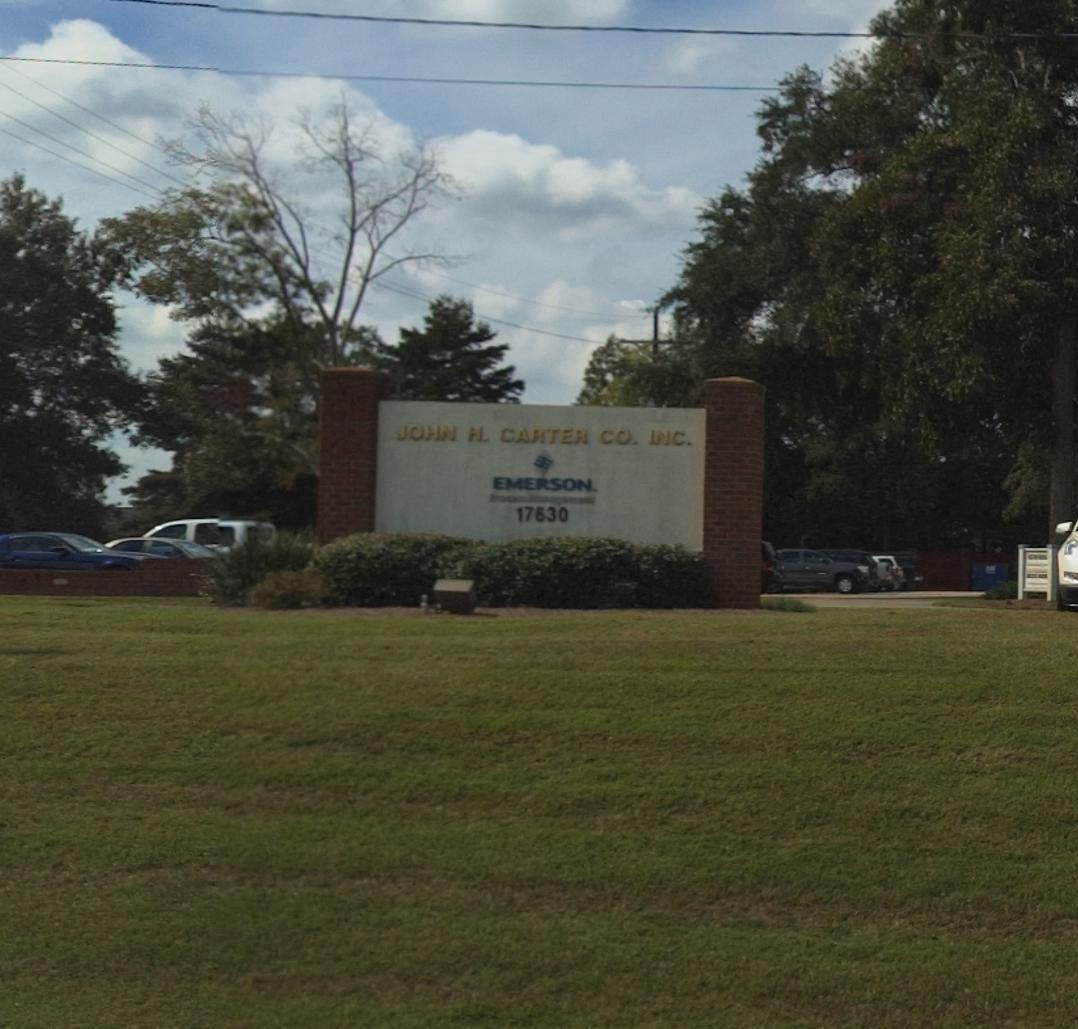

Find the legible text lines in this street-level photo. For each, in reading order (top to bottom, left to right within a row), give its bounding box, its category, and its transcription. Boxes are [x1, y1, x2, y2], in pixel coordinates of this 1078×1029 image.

[390, 421, 698, 449] BusinessName: JOHN H. CARTER CO. INC.
[490, 473, 597, 493] BusinessName: EMERSON
[514, 503, 571, 526] StreetNumber: 17630